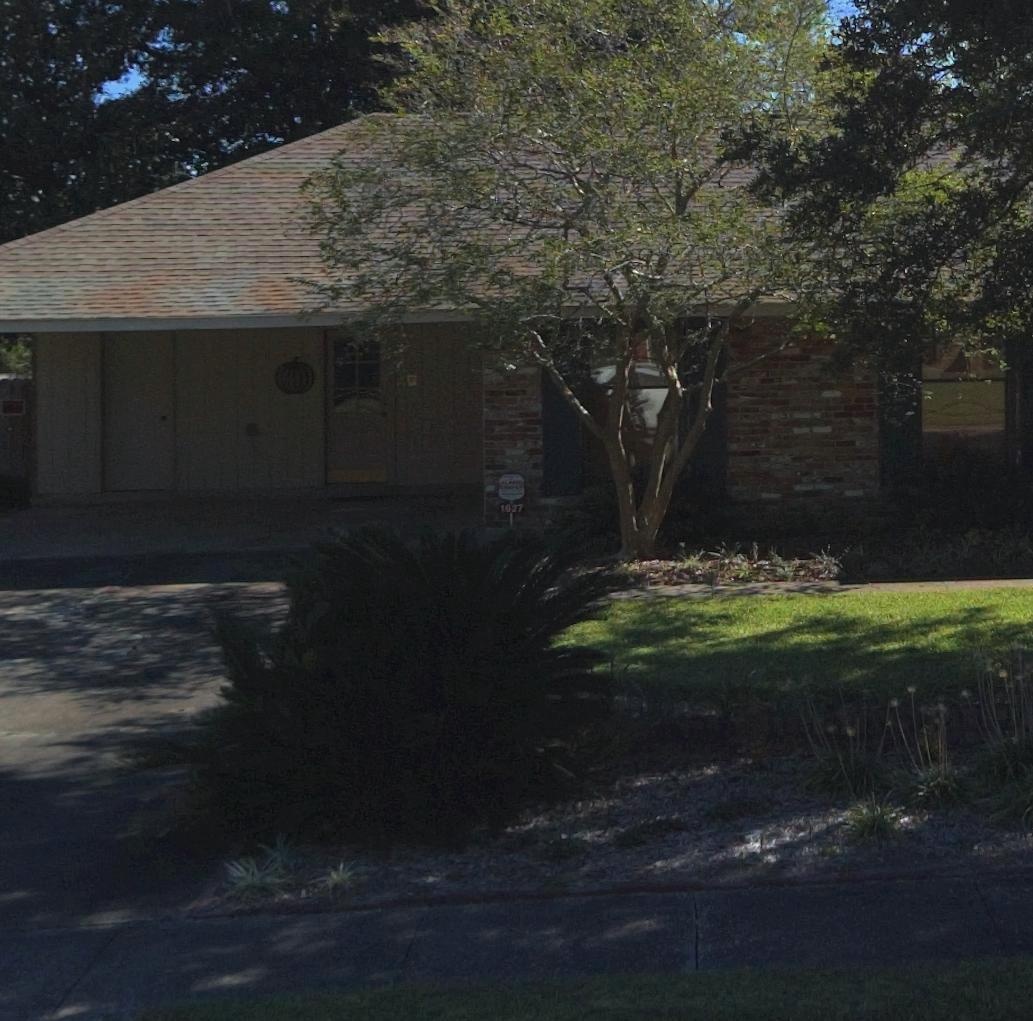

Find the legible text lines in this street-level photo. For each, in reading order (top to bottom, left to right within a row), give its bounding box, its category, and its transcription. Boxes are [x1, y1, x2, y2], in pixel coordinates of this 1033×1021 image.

[499, 502, 525, 514] StreetNumber: 1*27